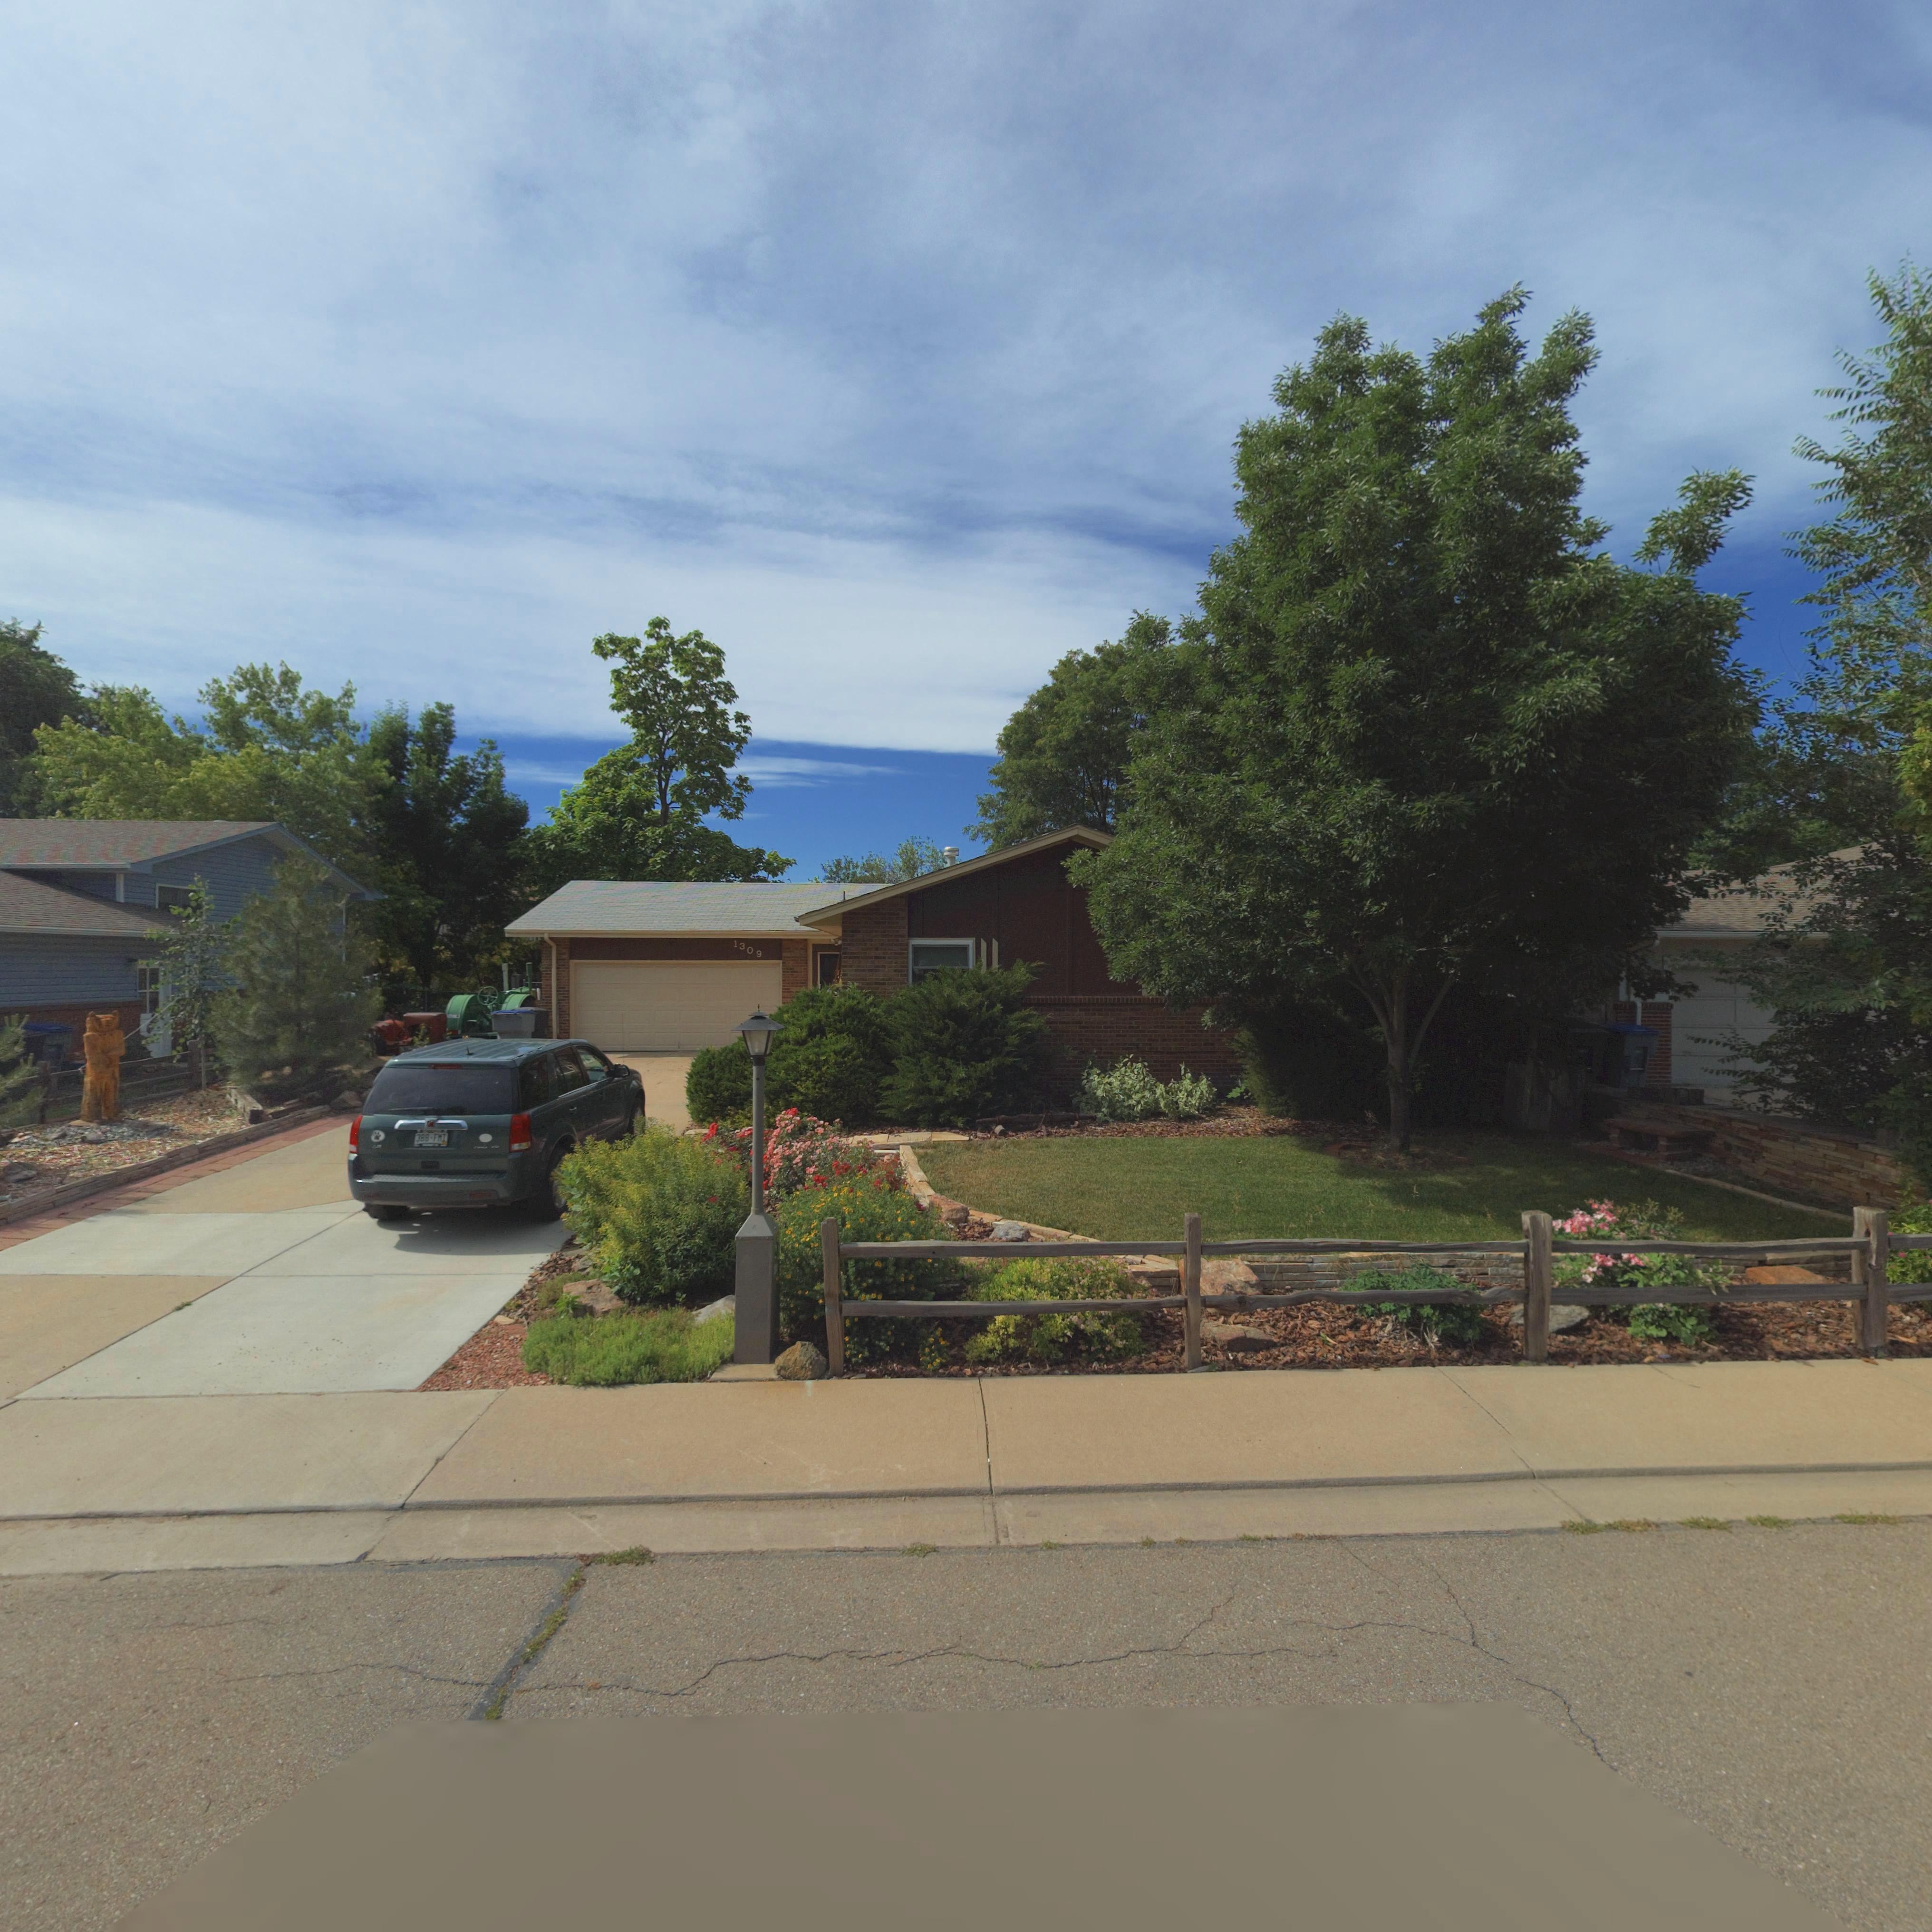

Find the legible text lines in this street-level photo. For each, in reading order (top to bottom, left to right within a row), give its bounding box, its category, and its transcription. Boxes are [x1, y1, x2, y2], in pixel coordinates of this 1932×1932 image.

[733, 939, 762, 958] StreetNumber: 1309